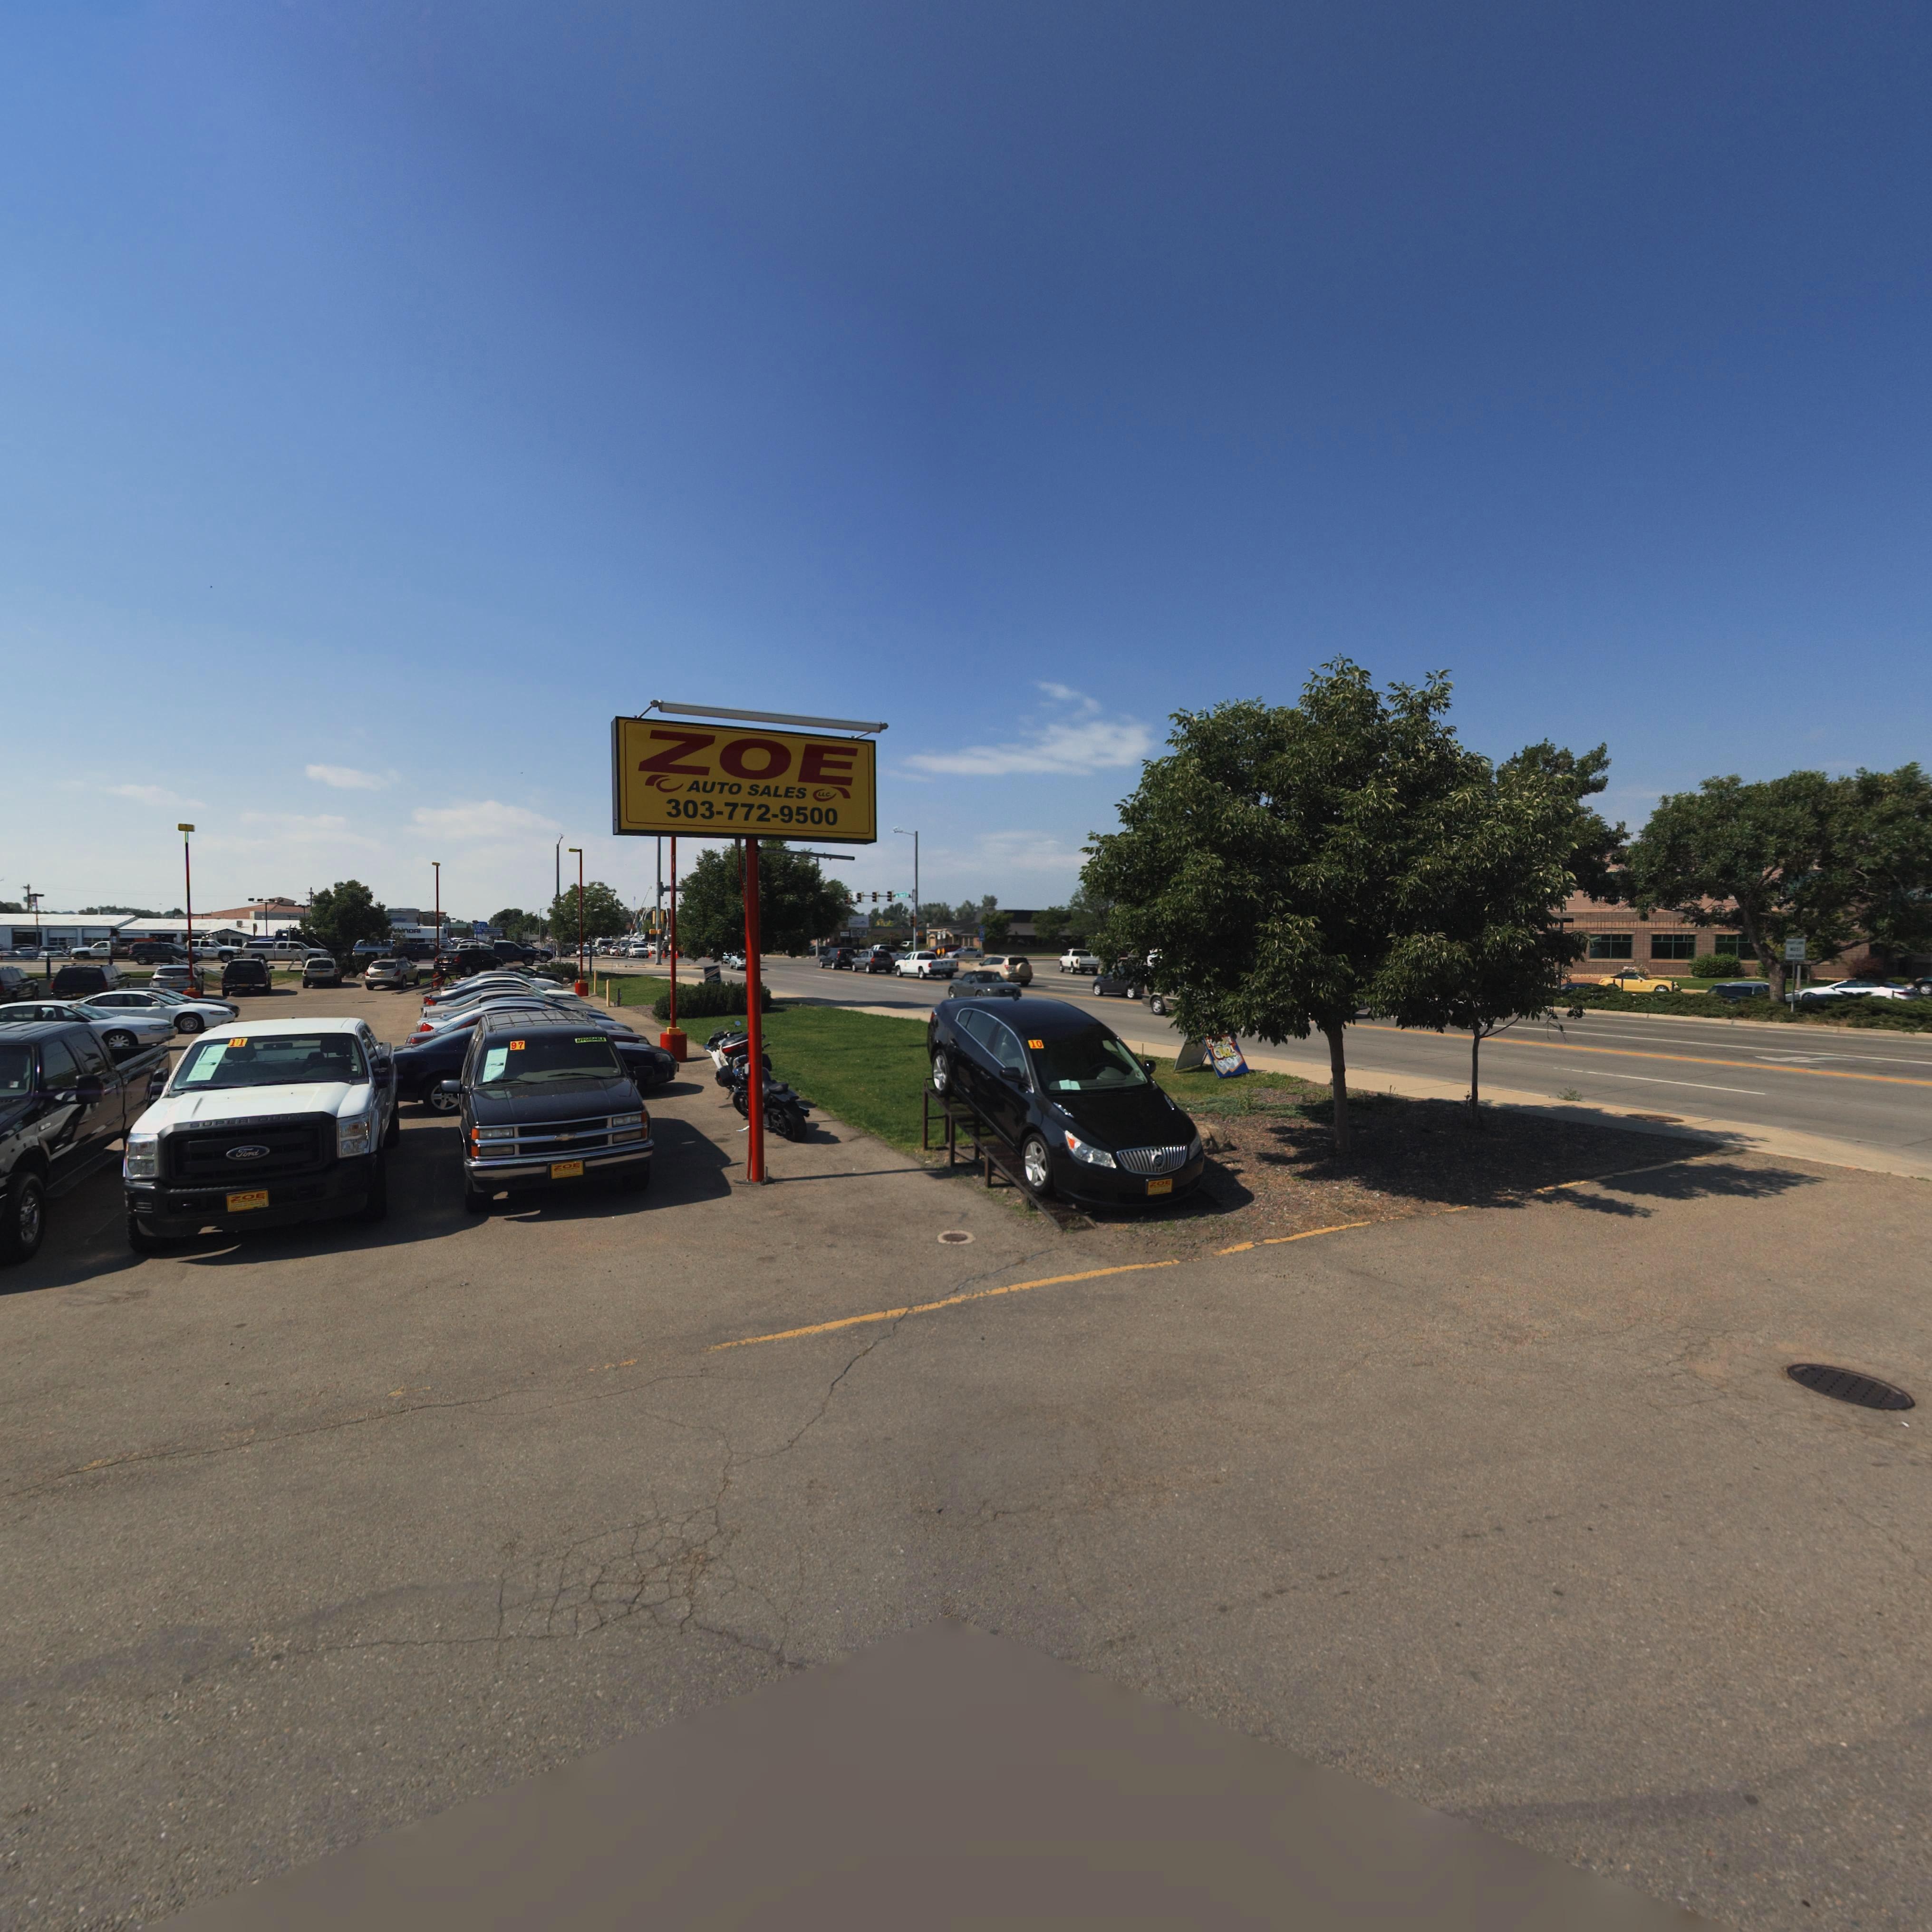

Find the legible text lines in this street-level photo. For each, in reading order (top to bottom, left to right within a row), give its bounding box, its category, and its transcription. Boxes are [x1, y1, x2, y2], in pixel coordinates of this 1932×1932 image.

[635, 727, 860, 788] BusinessName: ZOE
[686, 779, 808, 800] BusinessName: AUTO SALES